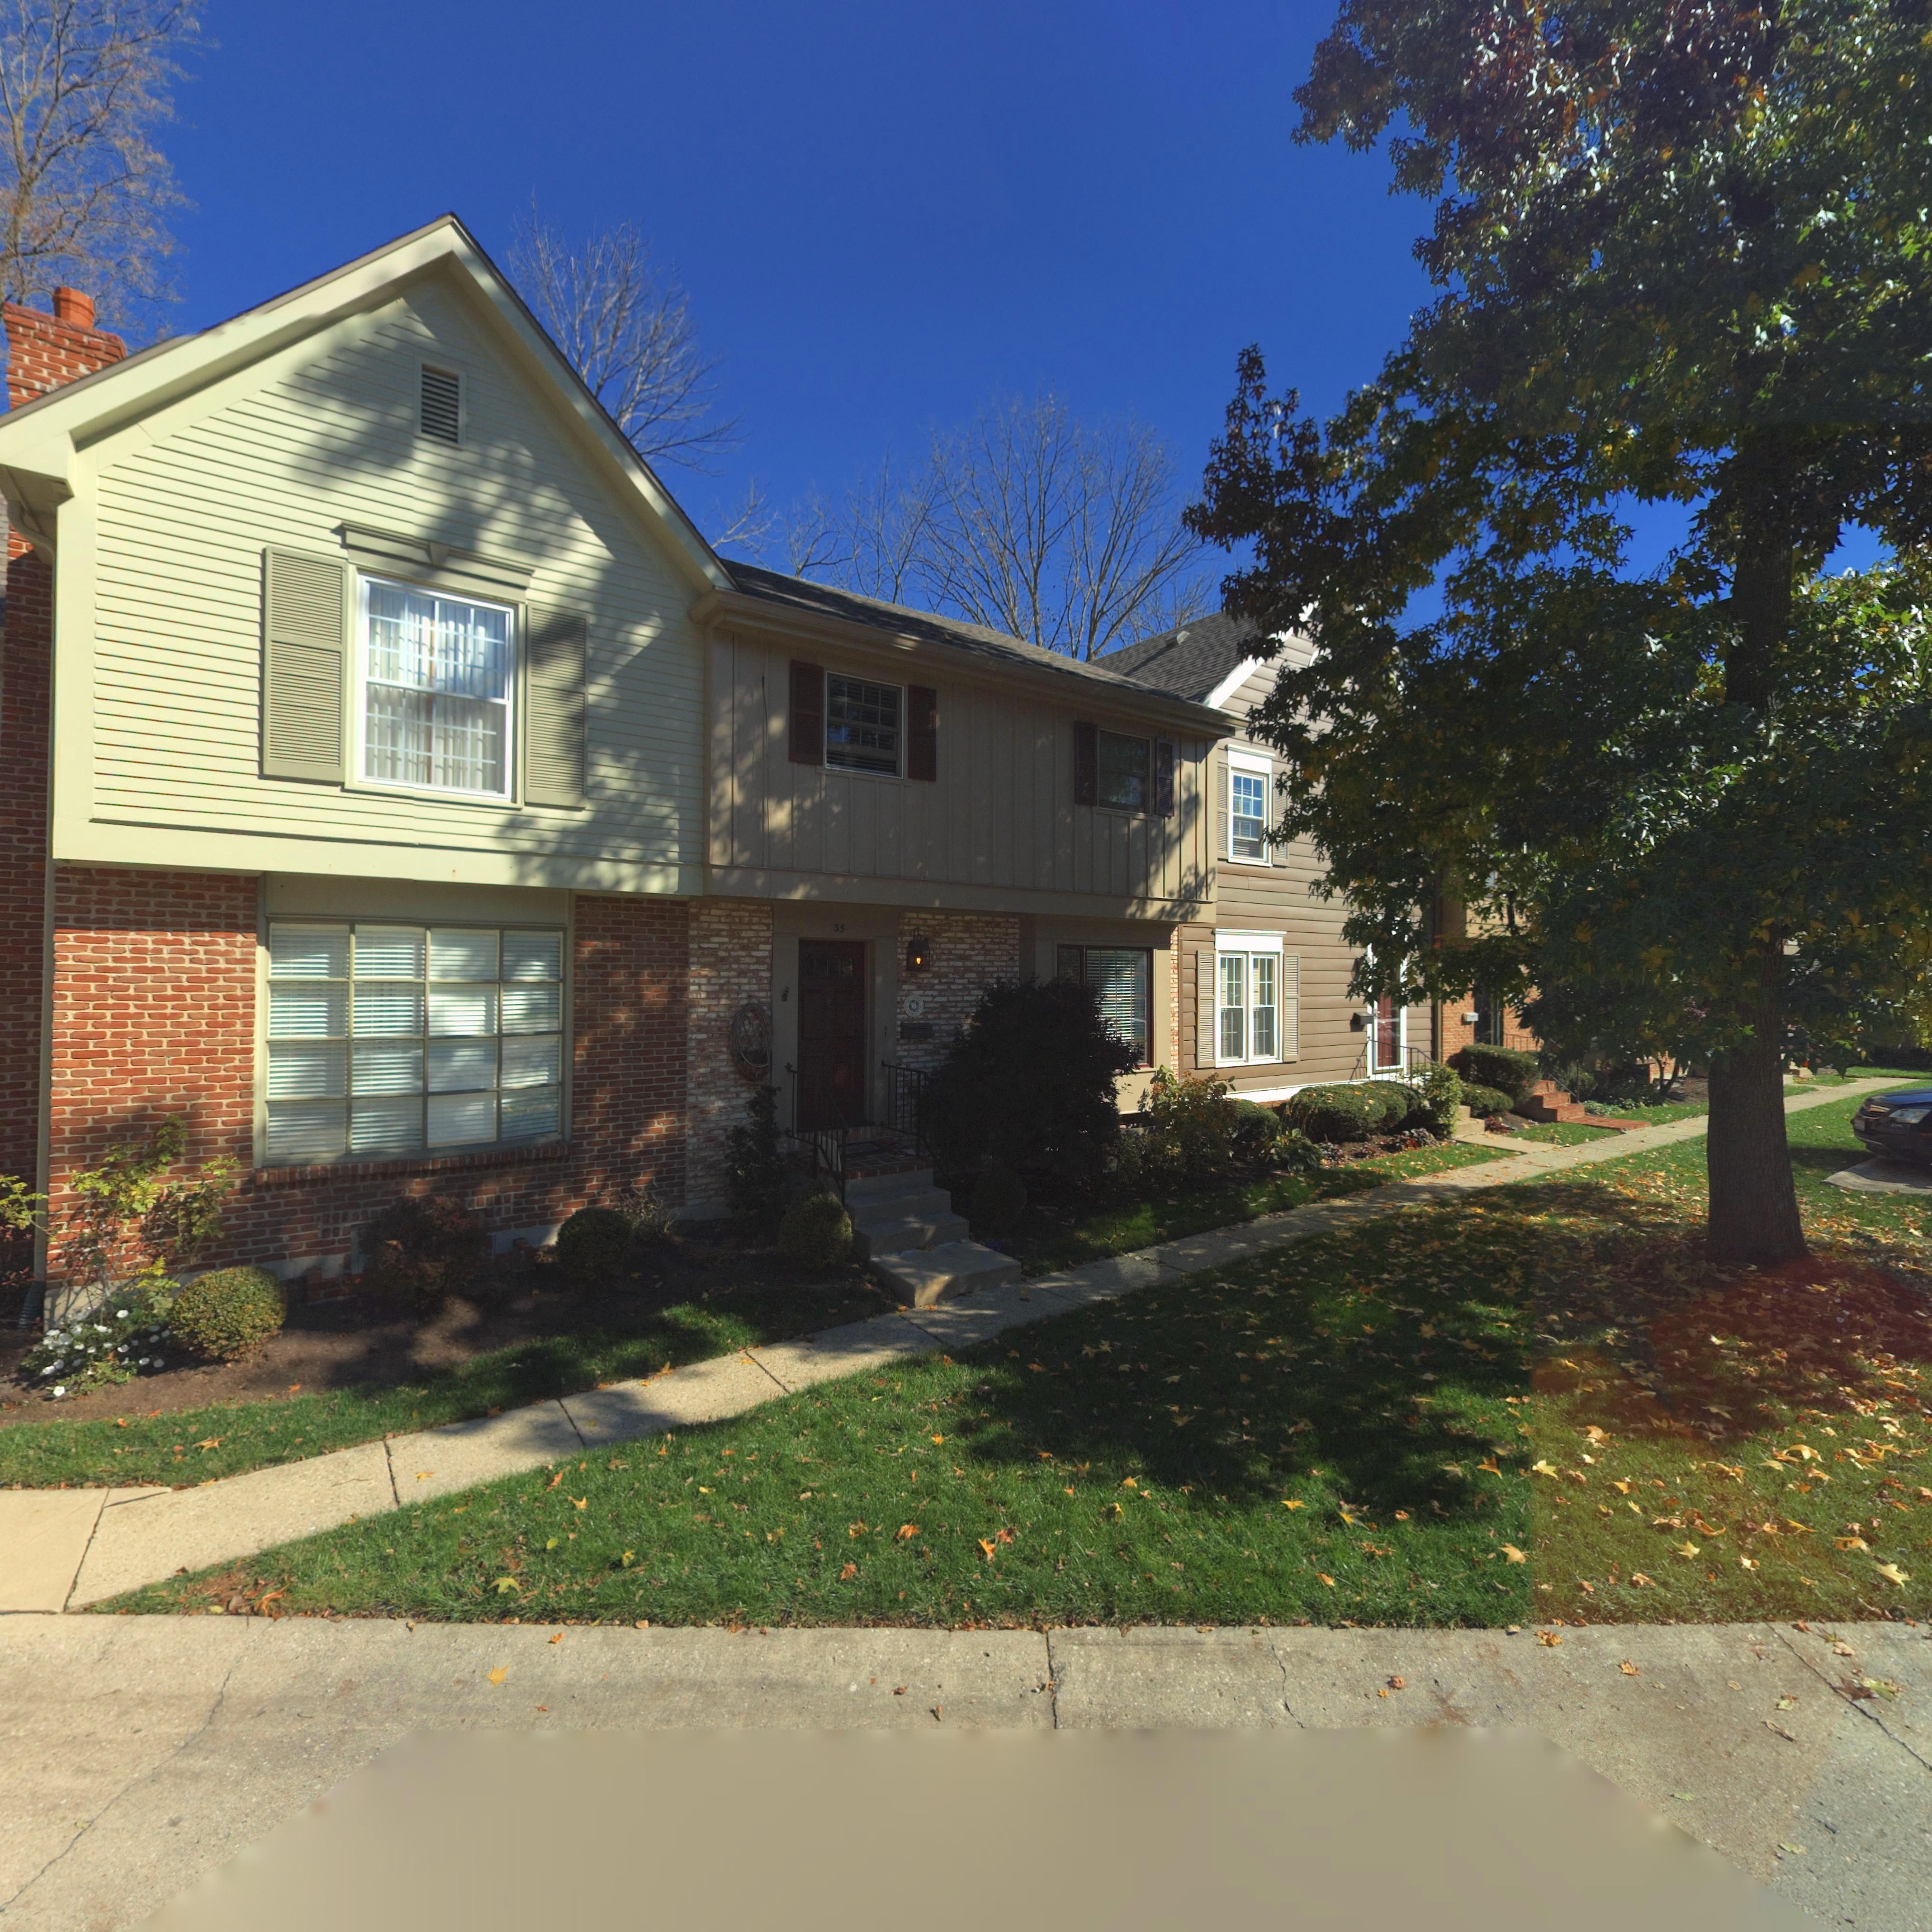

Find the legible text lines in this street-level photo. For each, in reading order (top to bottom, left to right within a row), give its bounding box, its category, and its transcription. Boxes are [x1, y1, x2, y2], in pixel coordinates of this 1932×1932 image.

[832, 923, 846, 933] StreetNumber: 35